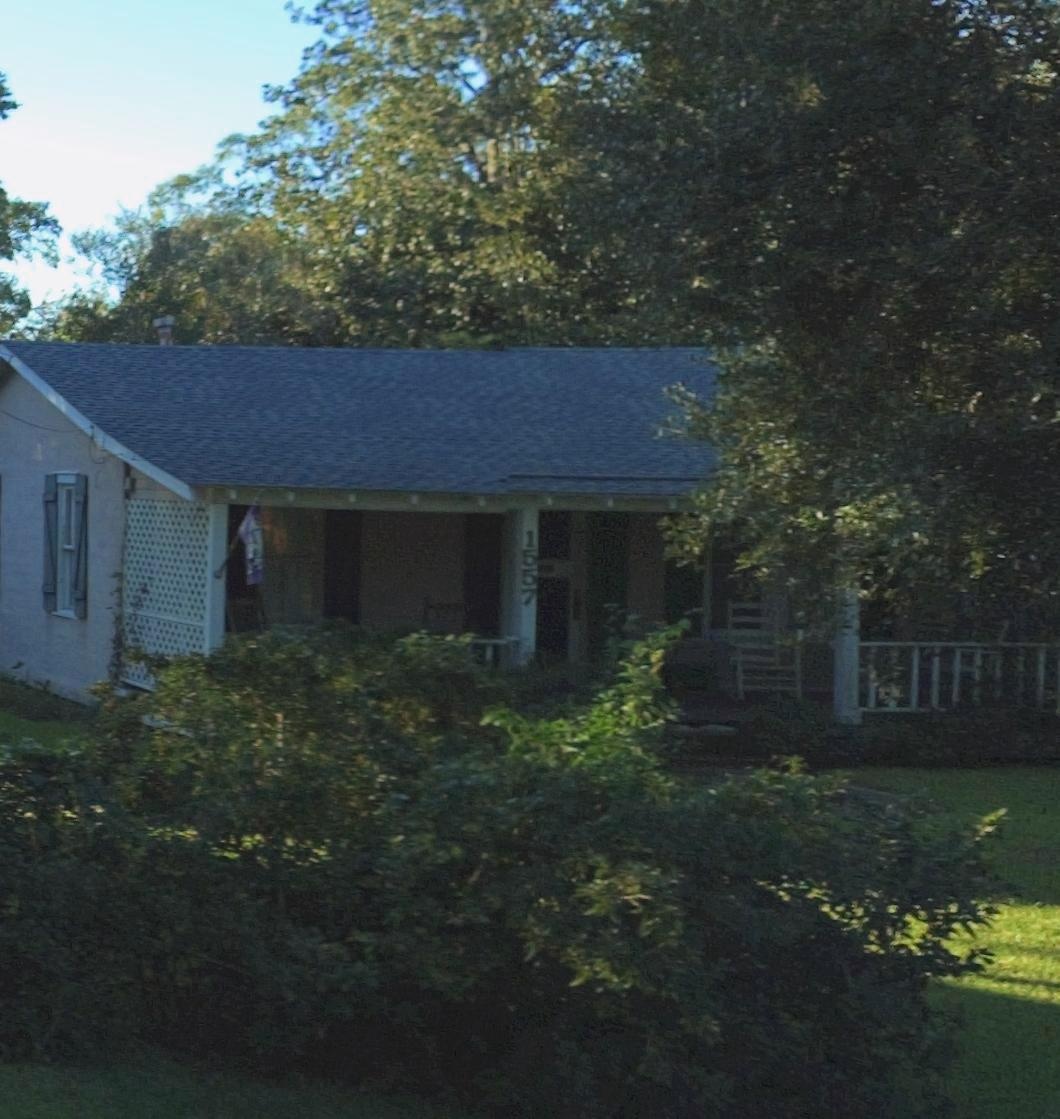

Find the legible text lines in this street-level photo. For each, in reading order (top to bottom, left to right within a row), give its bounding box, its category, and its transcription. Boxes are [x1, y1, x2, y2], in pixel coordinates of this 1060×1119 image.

[519, 528, 538, 608] StreetNumber: 1557